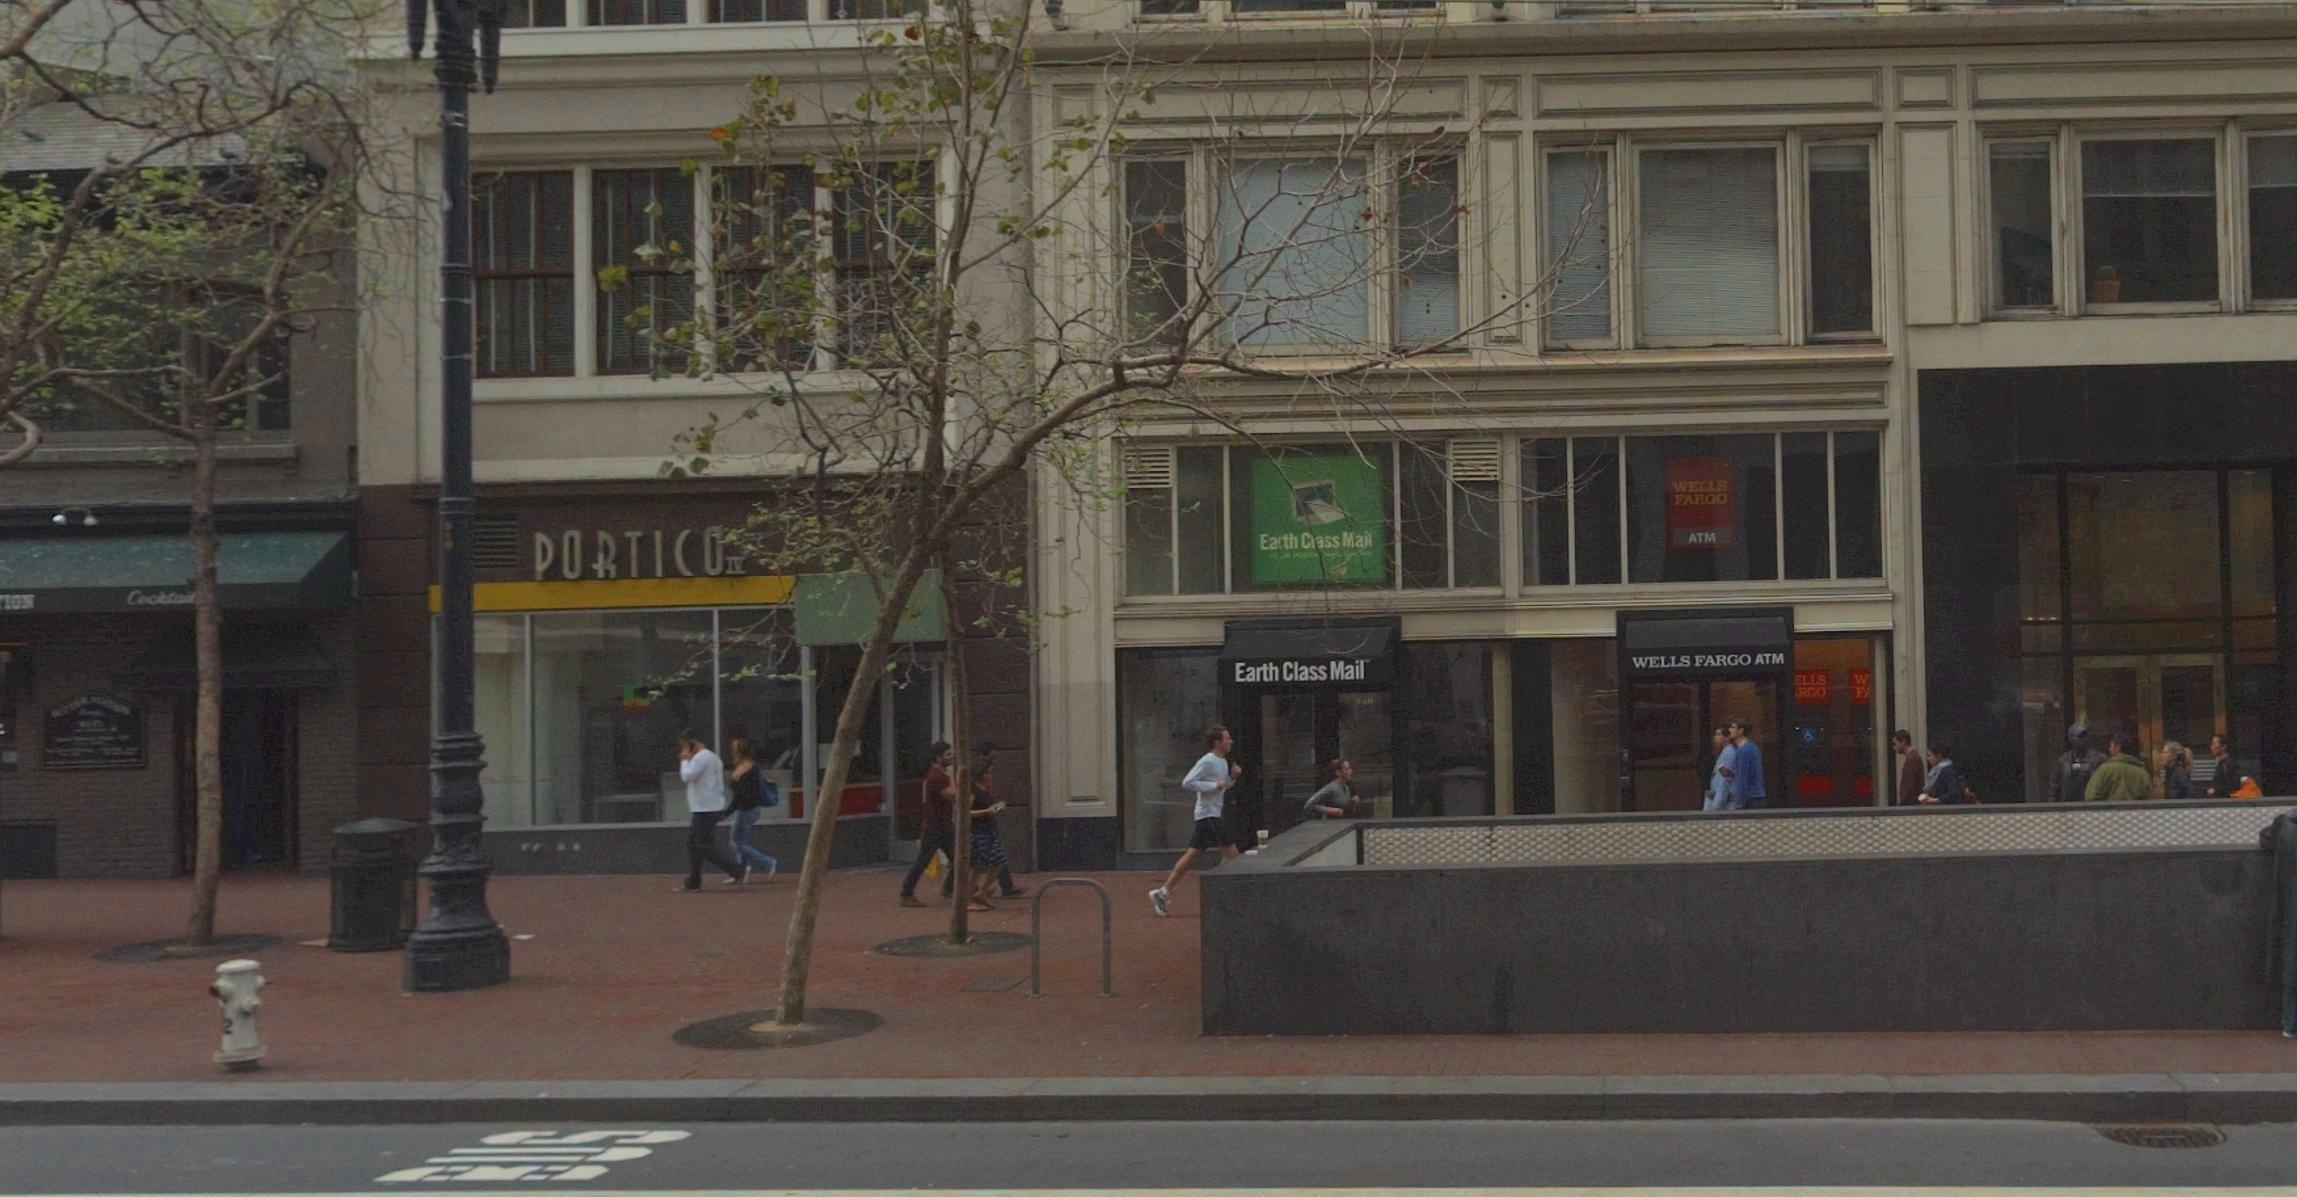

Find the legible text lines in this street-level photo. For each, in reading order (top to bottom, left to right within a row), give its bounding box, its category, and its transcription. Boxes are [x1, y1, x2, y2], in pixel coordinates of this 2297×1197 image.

[1668, 476, 1731, 494] BusinessName: WELLS
[1671, 490, 1731, 508] BusinessName: FARGO
[1257, 527, 1376, 553] BusinessName: Ea*th C*ass Mail
[1685, 528, 1719, 547] None: ATM
[528, 521, 730, 587] BusinessName: PORTICO
[722, 554, 748, 577] BusinessName: IV
[2, 589, 39, 613] None: ION
[123, 586, 194, 608] None: Cocktai
[1628, 650, 1788, 671] BusinessName: Wells Fargo
[1232, 657, 1367, 686] BusinessName: Earth Class Mail
[1792, 673, 1828, 687] BusinessName: ELLS
[1851, 672, 1872, 687] BusinessName: W
[1797, 685, 1828, 699] BusinessName: RGO
[1852, 685, 1868, 700] BusinessName: F
[354, 1125, 702, 1186] None: BUS